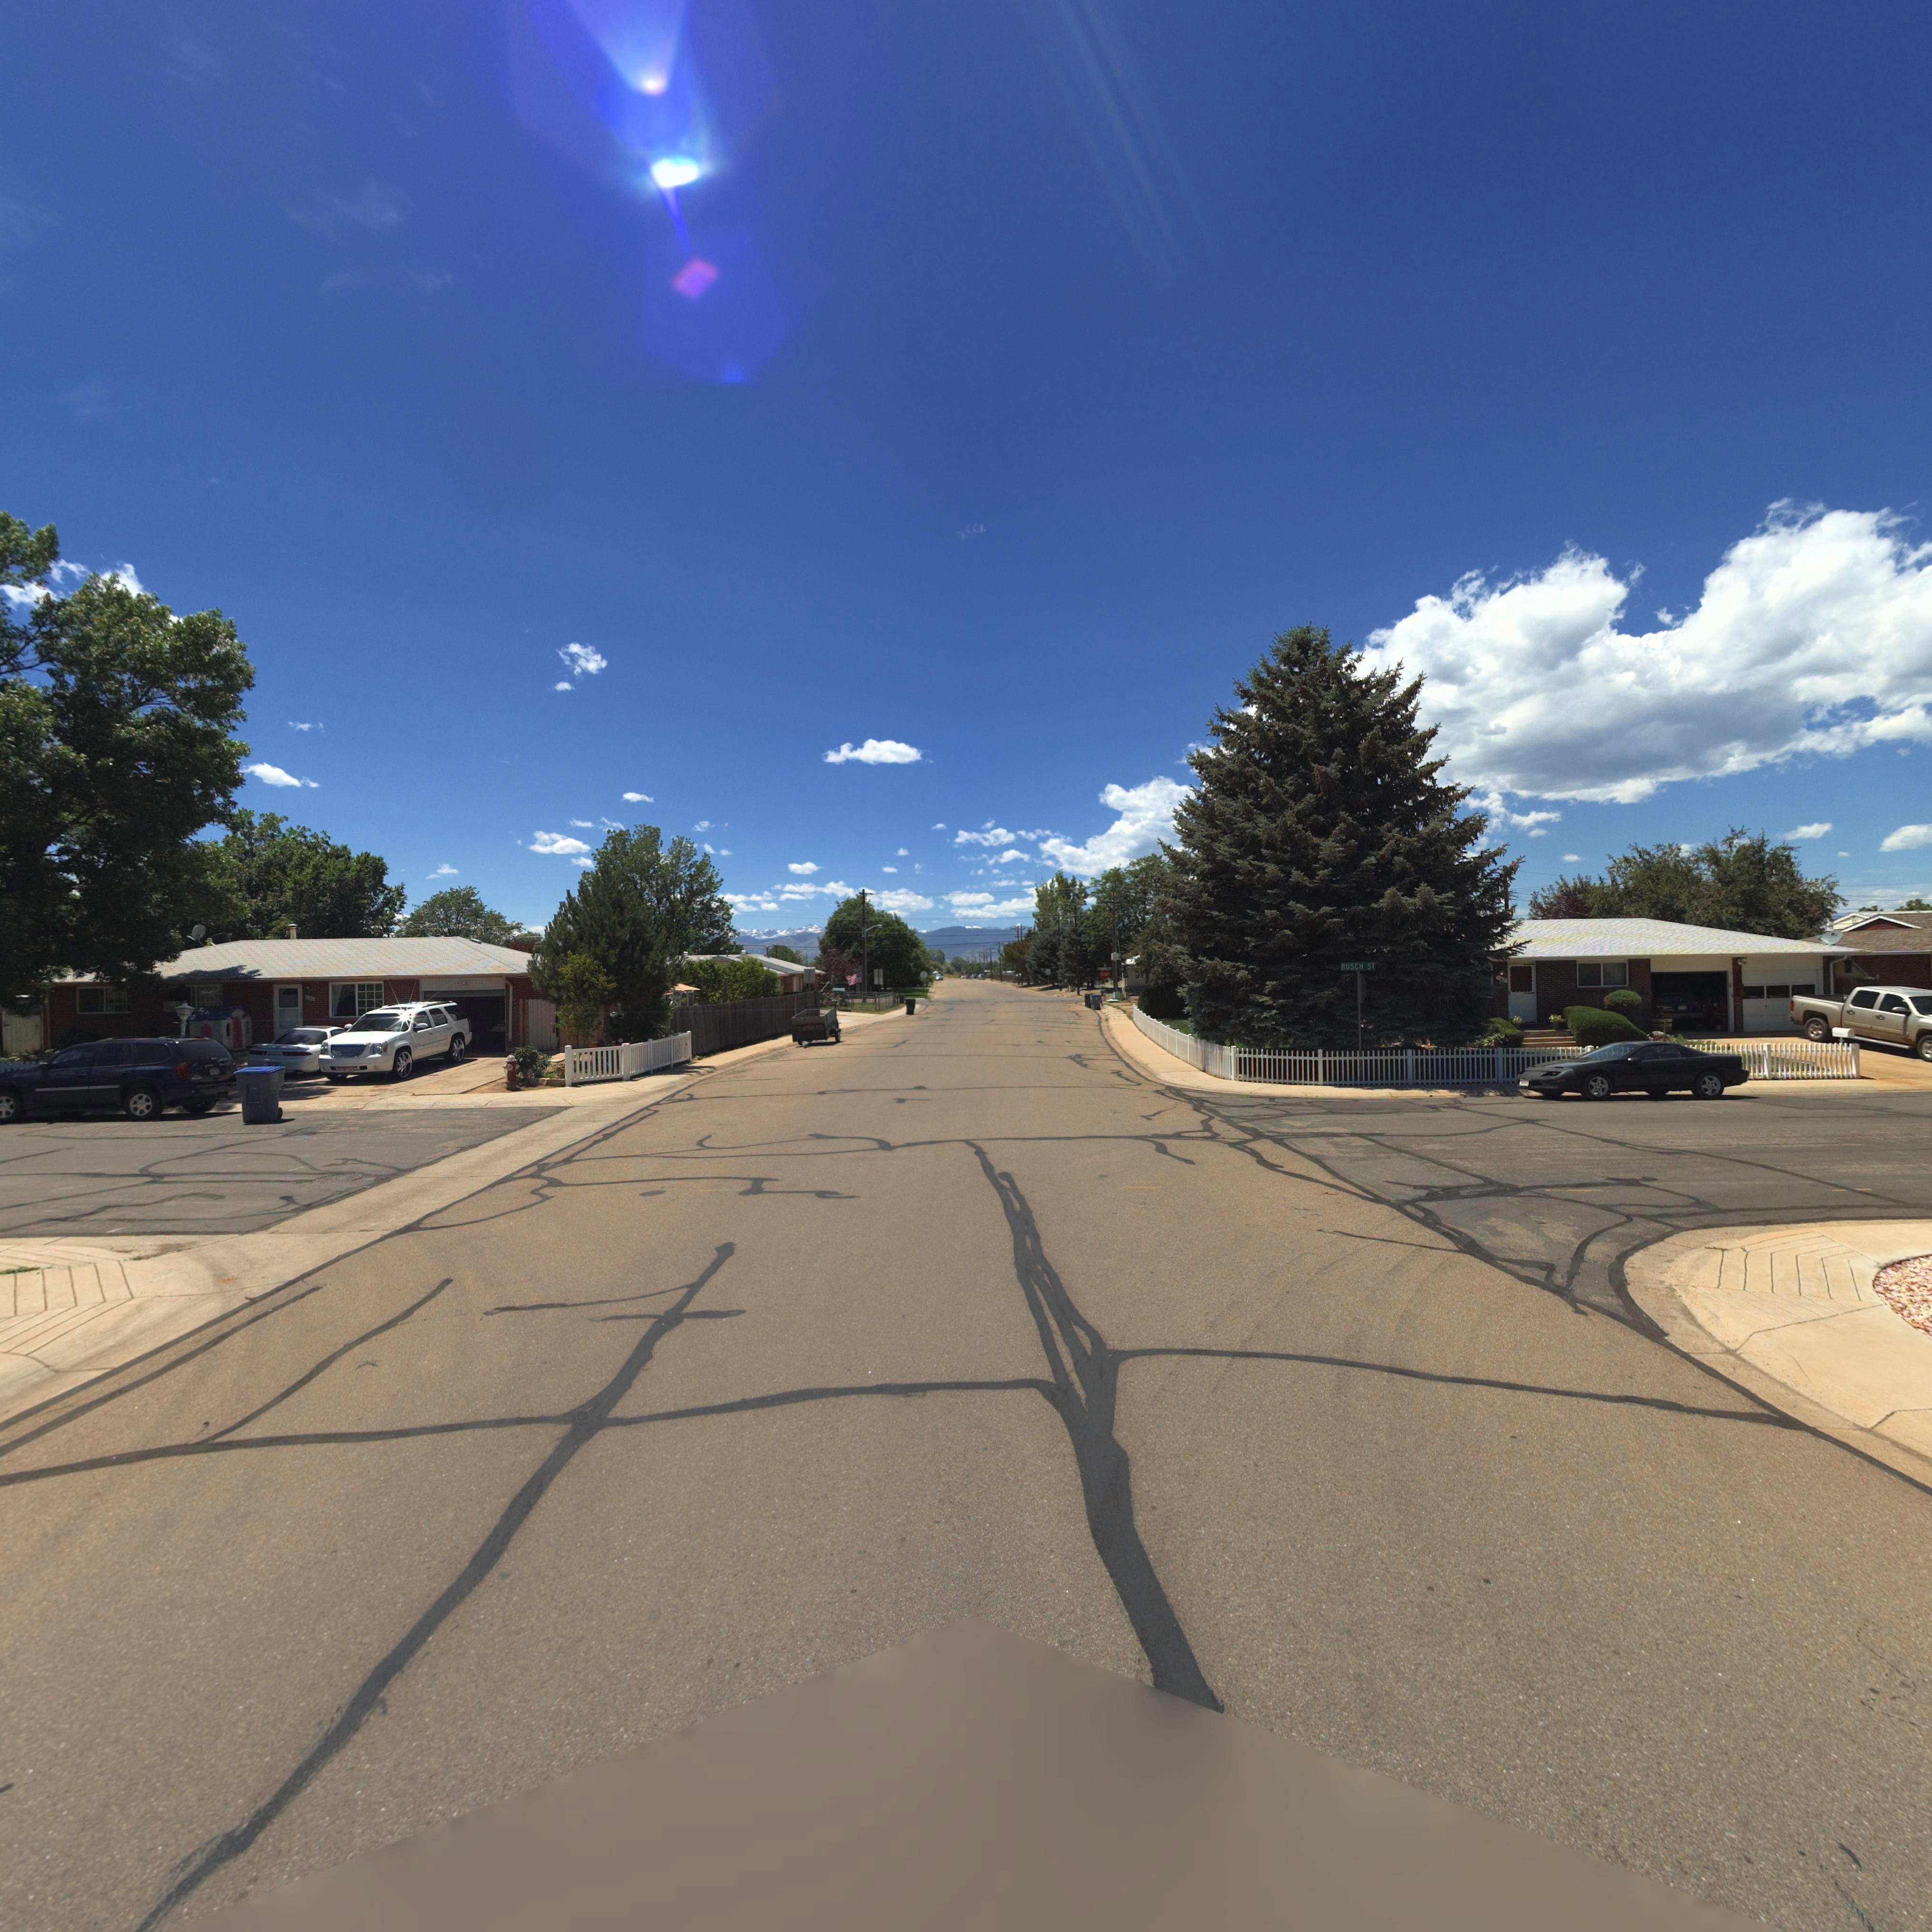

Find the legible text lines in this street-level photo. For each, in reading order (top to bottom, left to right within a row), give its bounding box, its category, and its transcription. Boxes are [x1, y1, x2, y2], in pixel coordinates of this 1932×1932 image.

[1341, 963, 1375, 970] StreetName: BUSCH ST